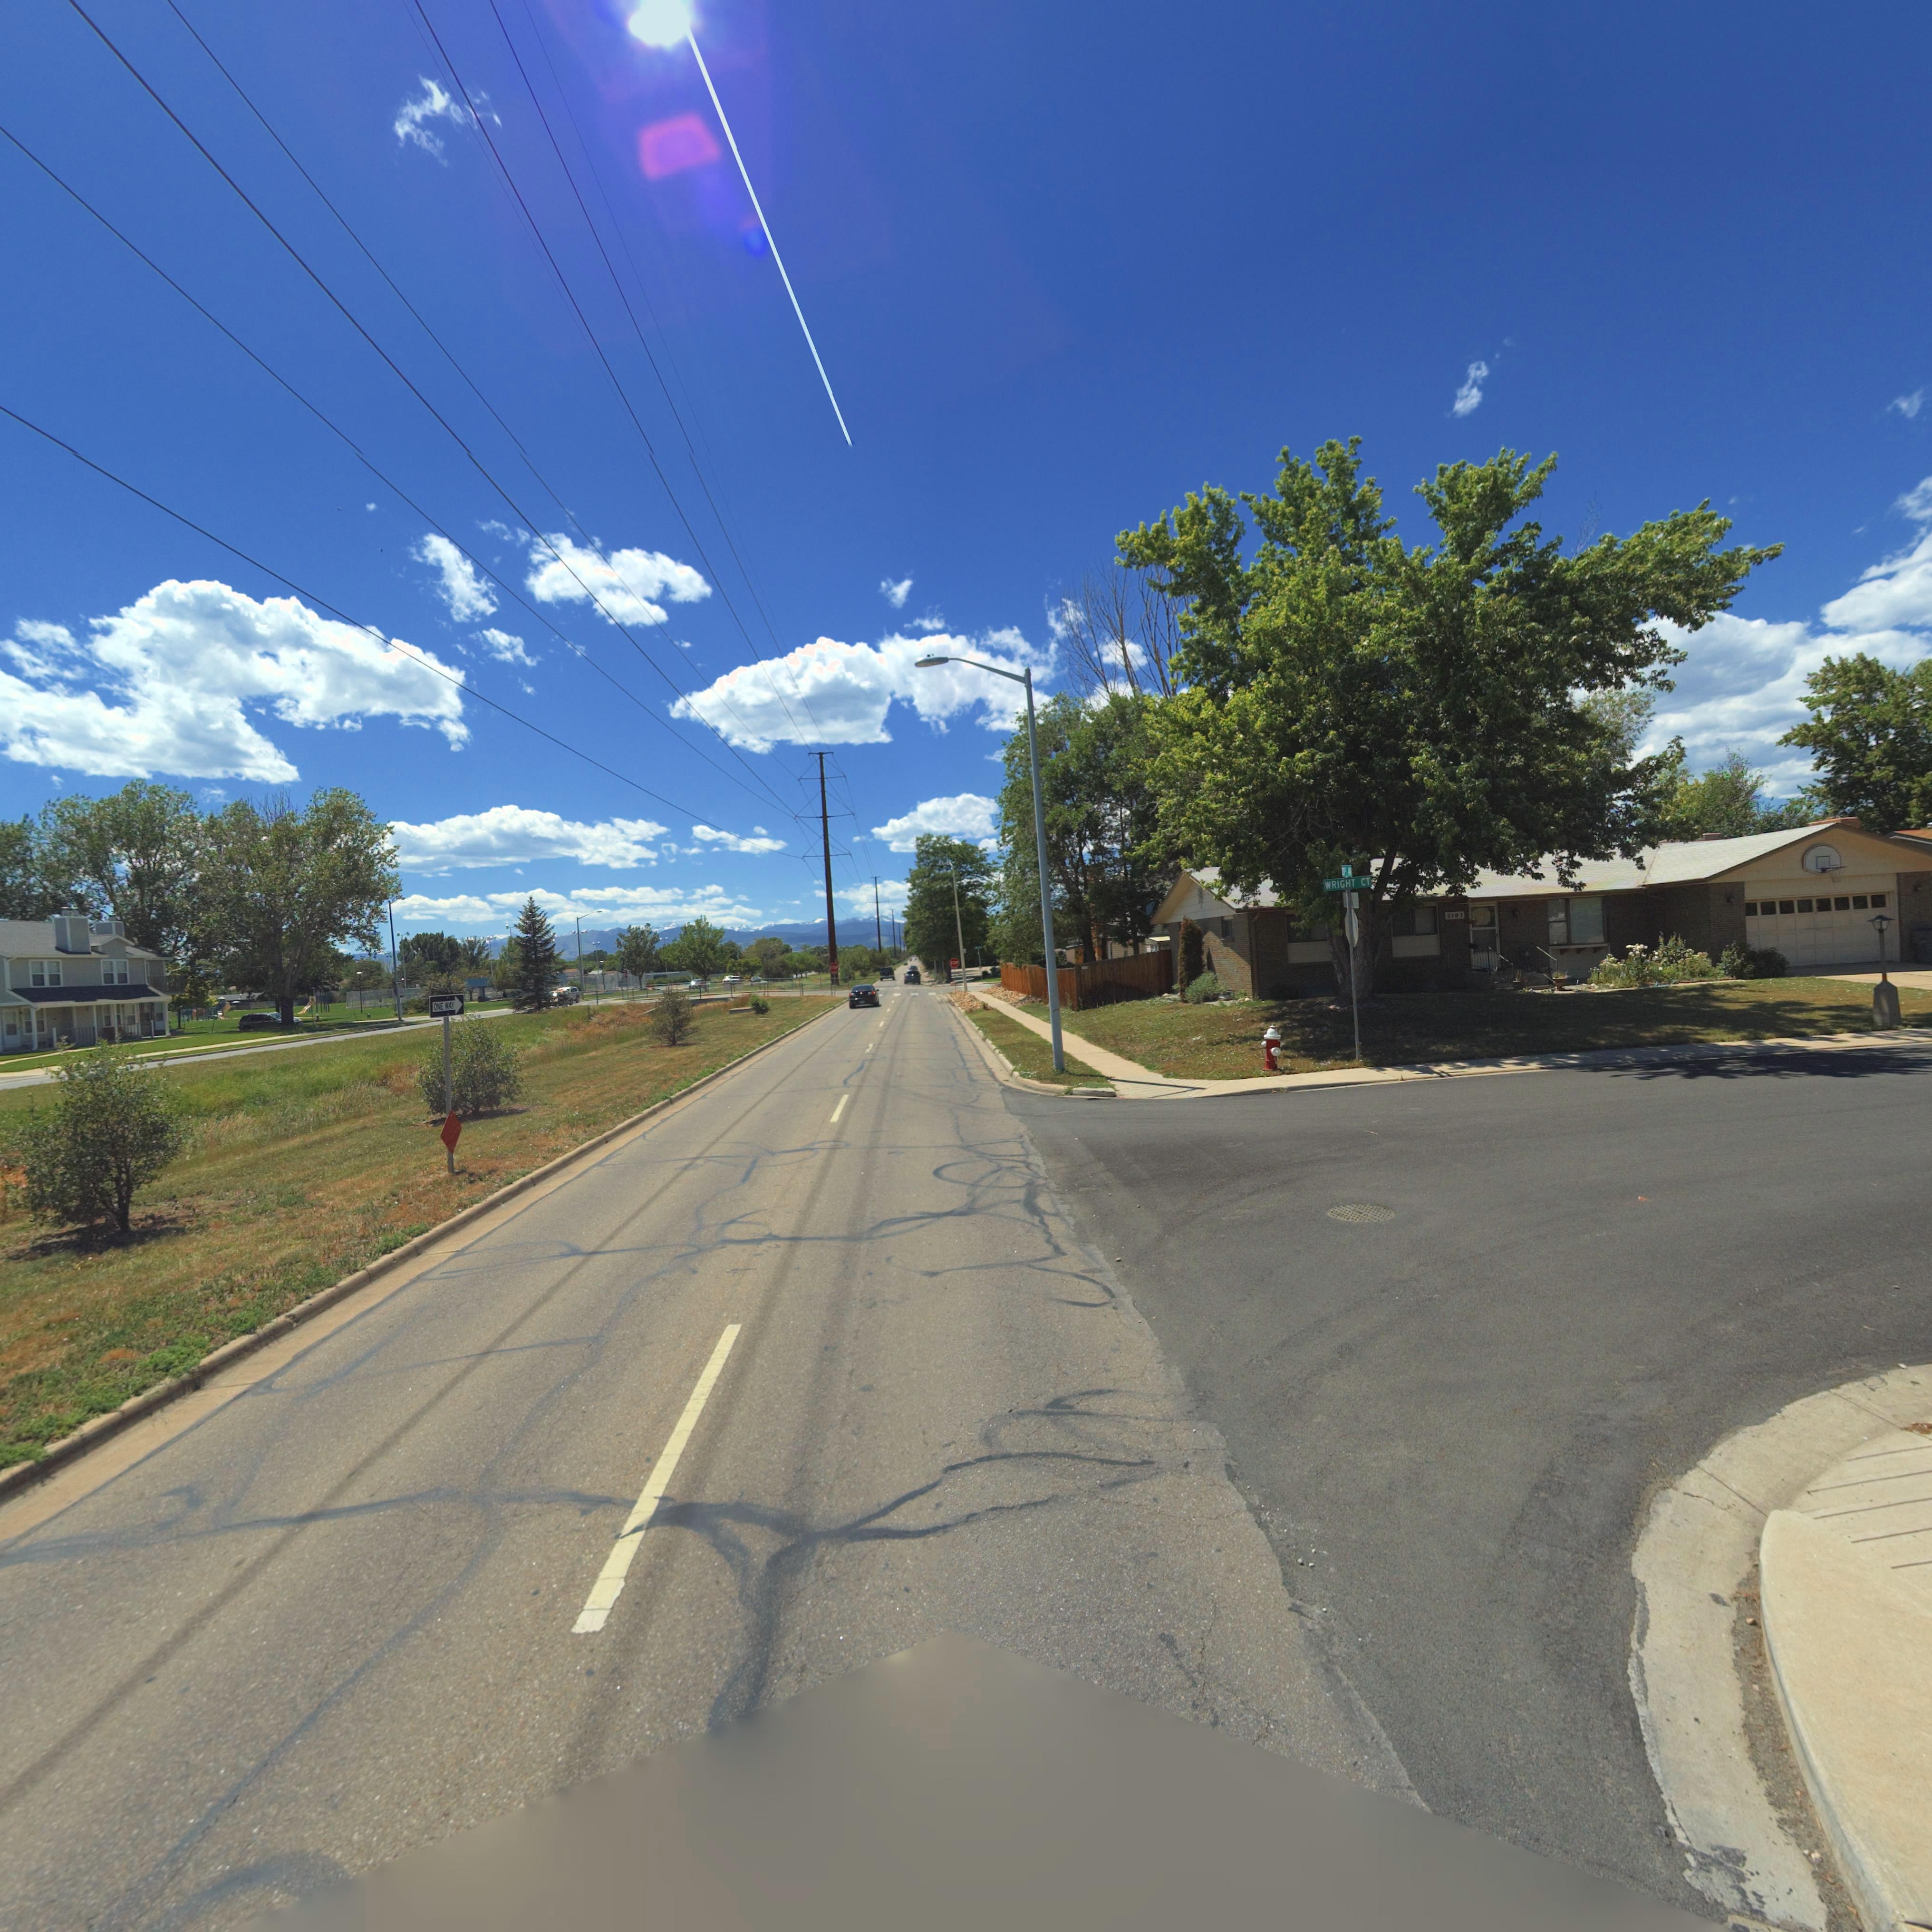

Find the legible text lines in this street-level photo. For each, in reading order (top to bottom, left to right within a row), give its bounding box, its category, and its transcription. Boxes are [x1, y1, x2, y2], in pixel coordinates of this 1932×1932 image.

[1341, 867, 1352, 875] StreetName: 2*** **
[1324, 877, 1370, 889] StreetName: WRIGHT CT
[1447, 912, 1463, 918] StreetNumber: 210*